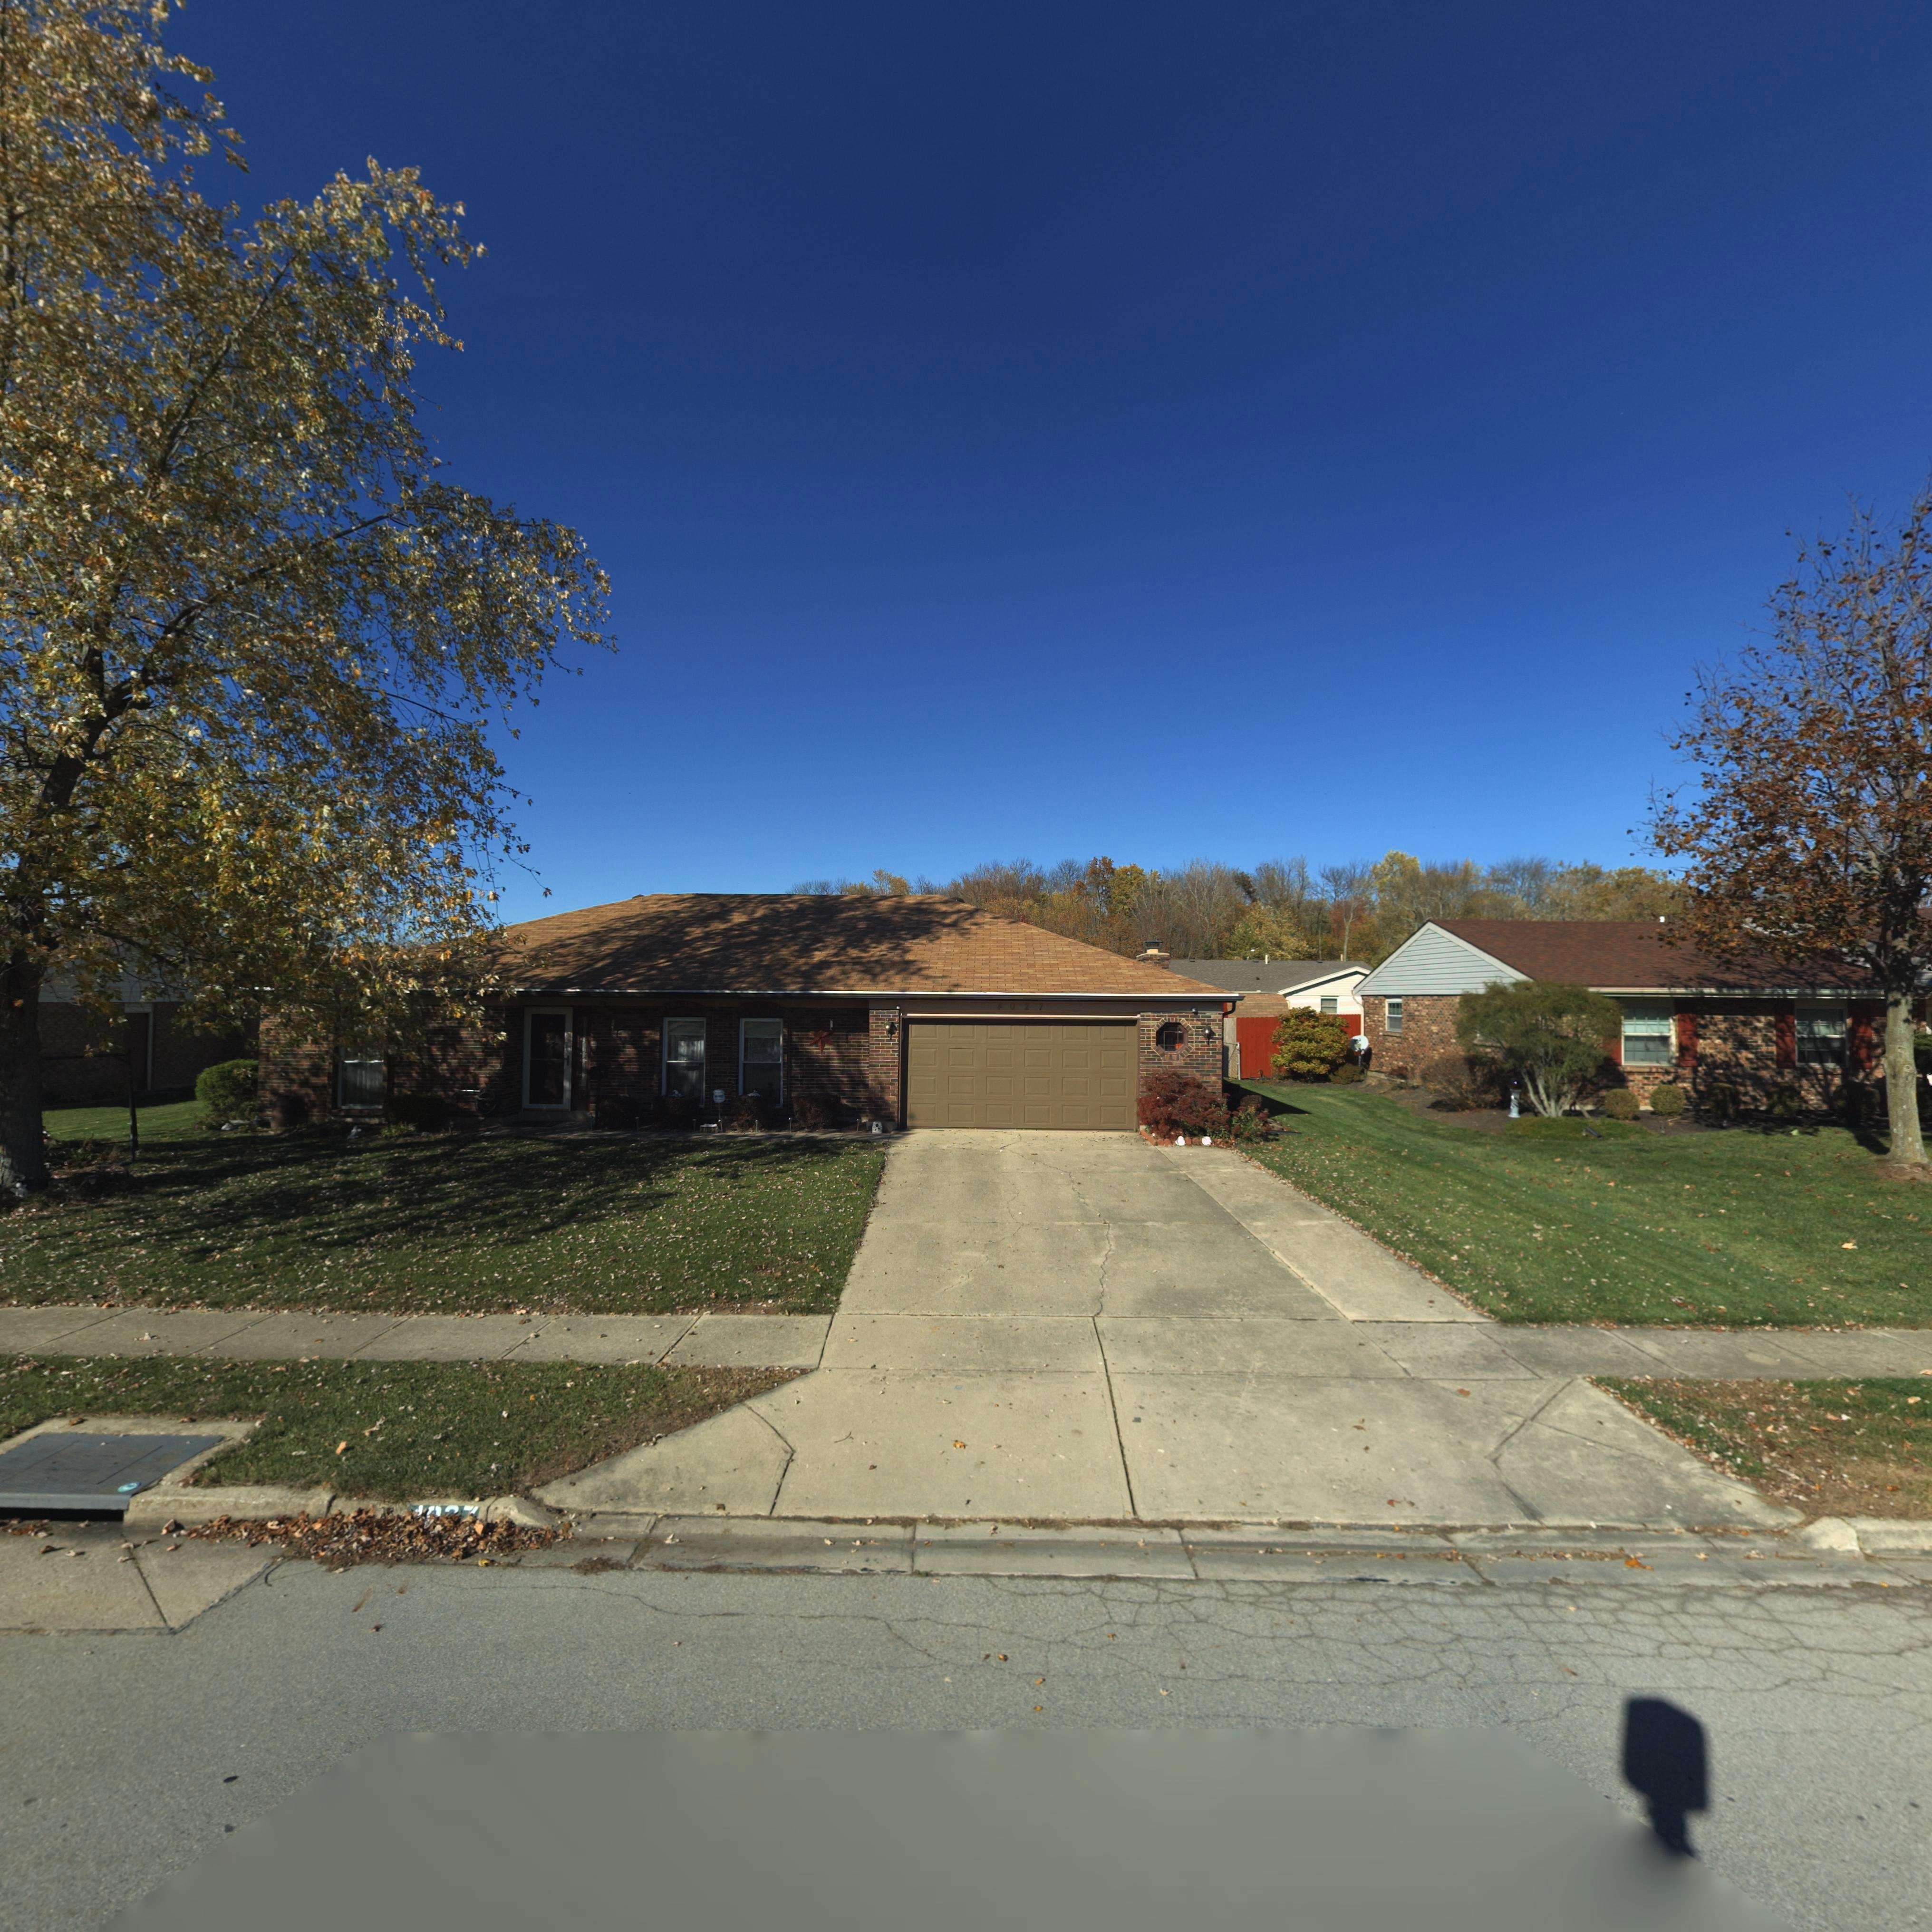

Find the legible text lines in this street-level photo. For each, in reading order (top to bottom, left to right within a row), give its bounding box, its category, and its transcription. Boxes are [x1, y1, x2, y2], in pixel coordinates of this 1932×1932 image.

[996, 1001, 1043, 1011] StreetNumber: 4027